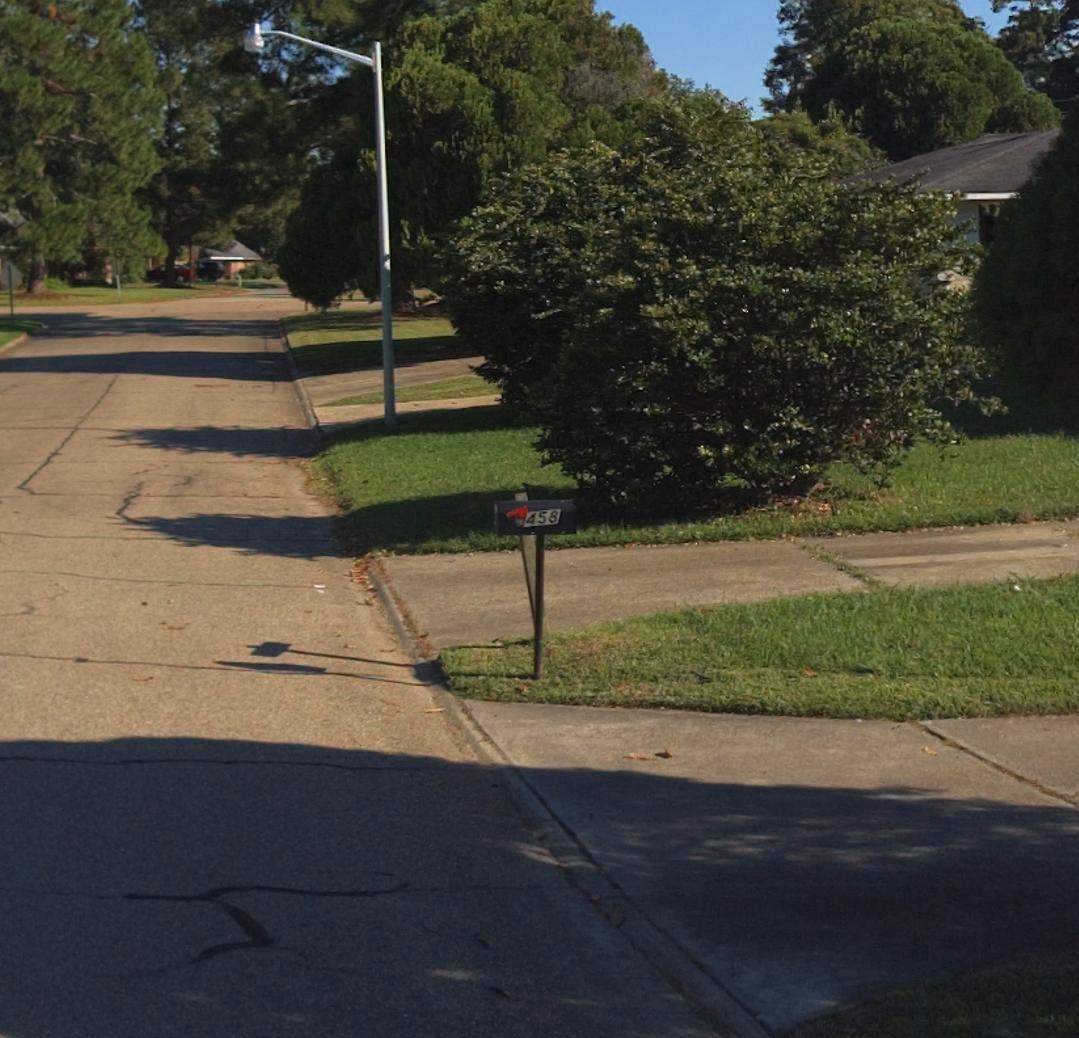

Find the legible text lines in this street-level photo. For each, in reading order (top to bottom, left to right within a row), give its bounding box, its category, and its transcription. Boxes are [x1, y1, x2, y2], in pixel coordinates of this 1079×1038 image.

[526, 509, 559, 526] StreetNumber: 9458